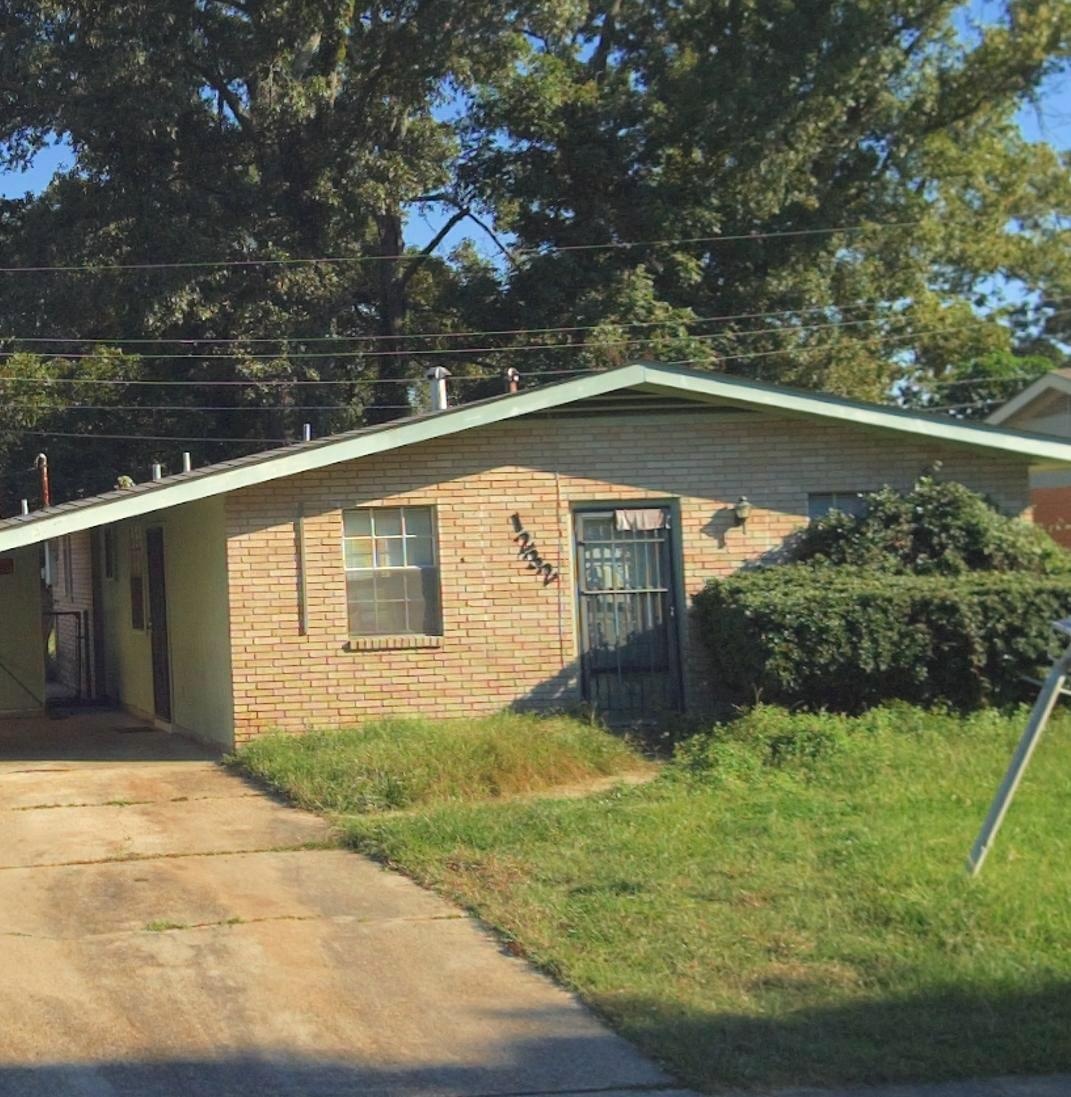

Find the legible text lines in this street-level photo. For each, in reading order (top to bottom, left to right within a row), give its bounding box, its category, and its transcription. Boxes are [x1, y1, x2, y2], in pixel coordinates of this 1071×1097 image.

[507, 511, 561, 588] StreetNumber: 1232